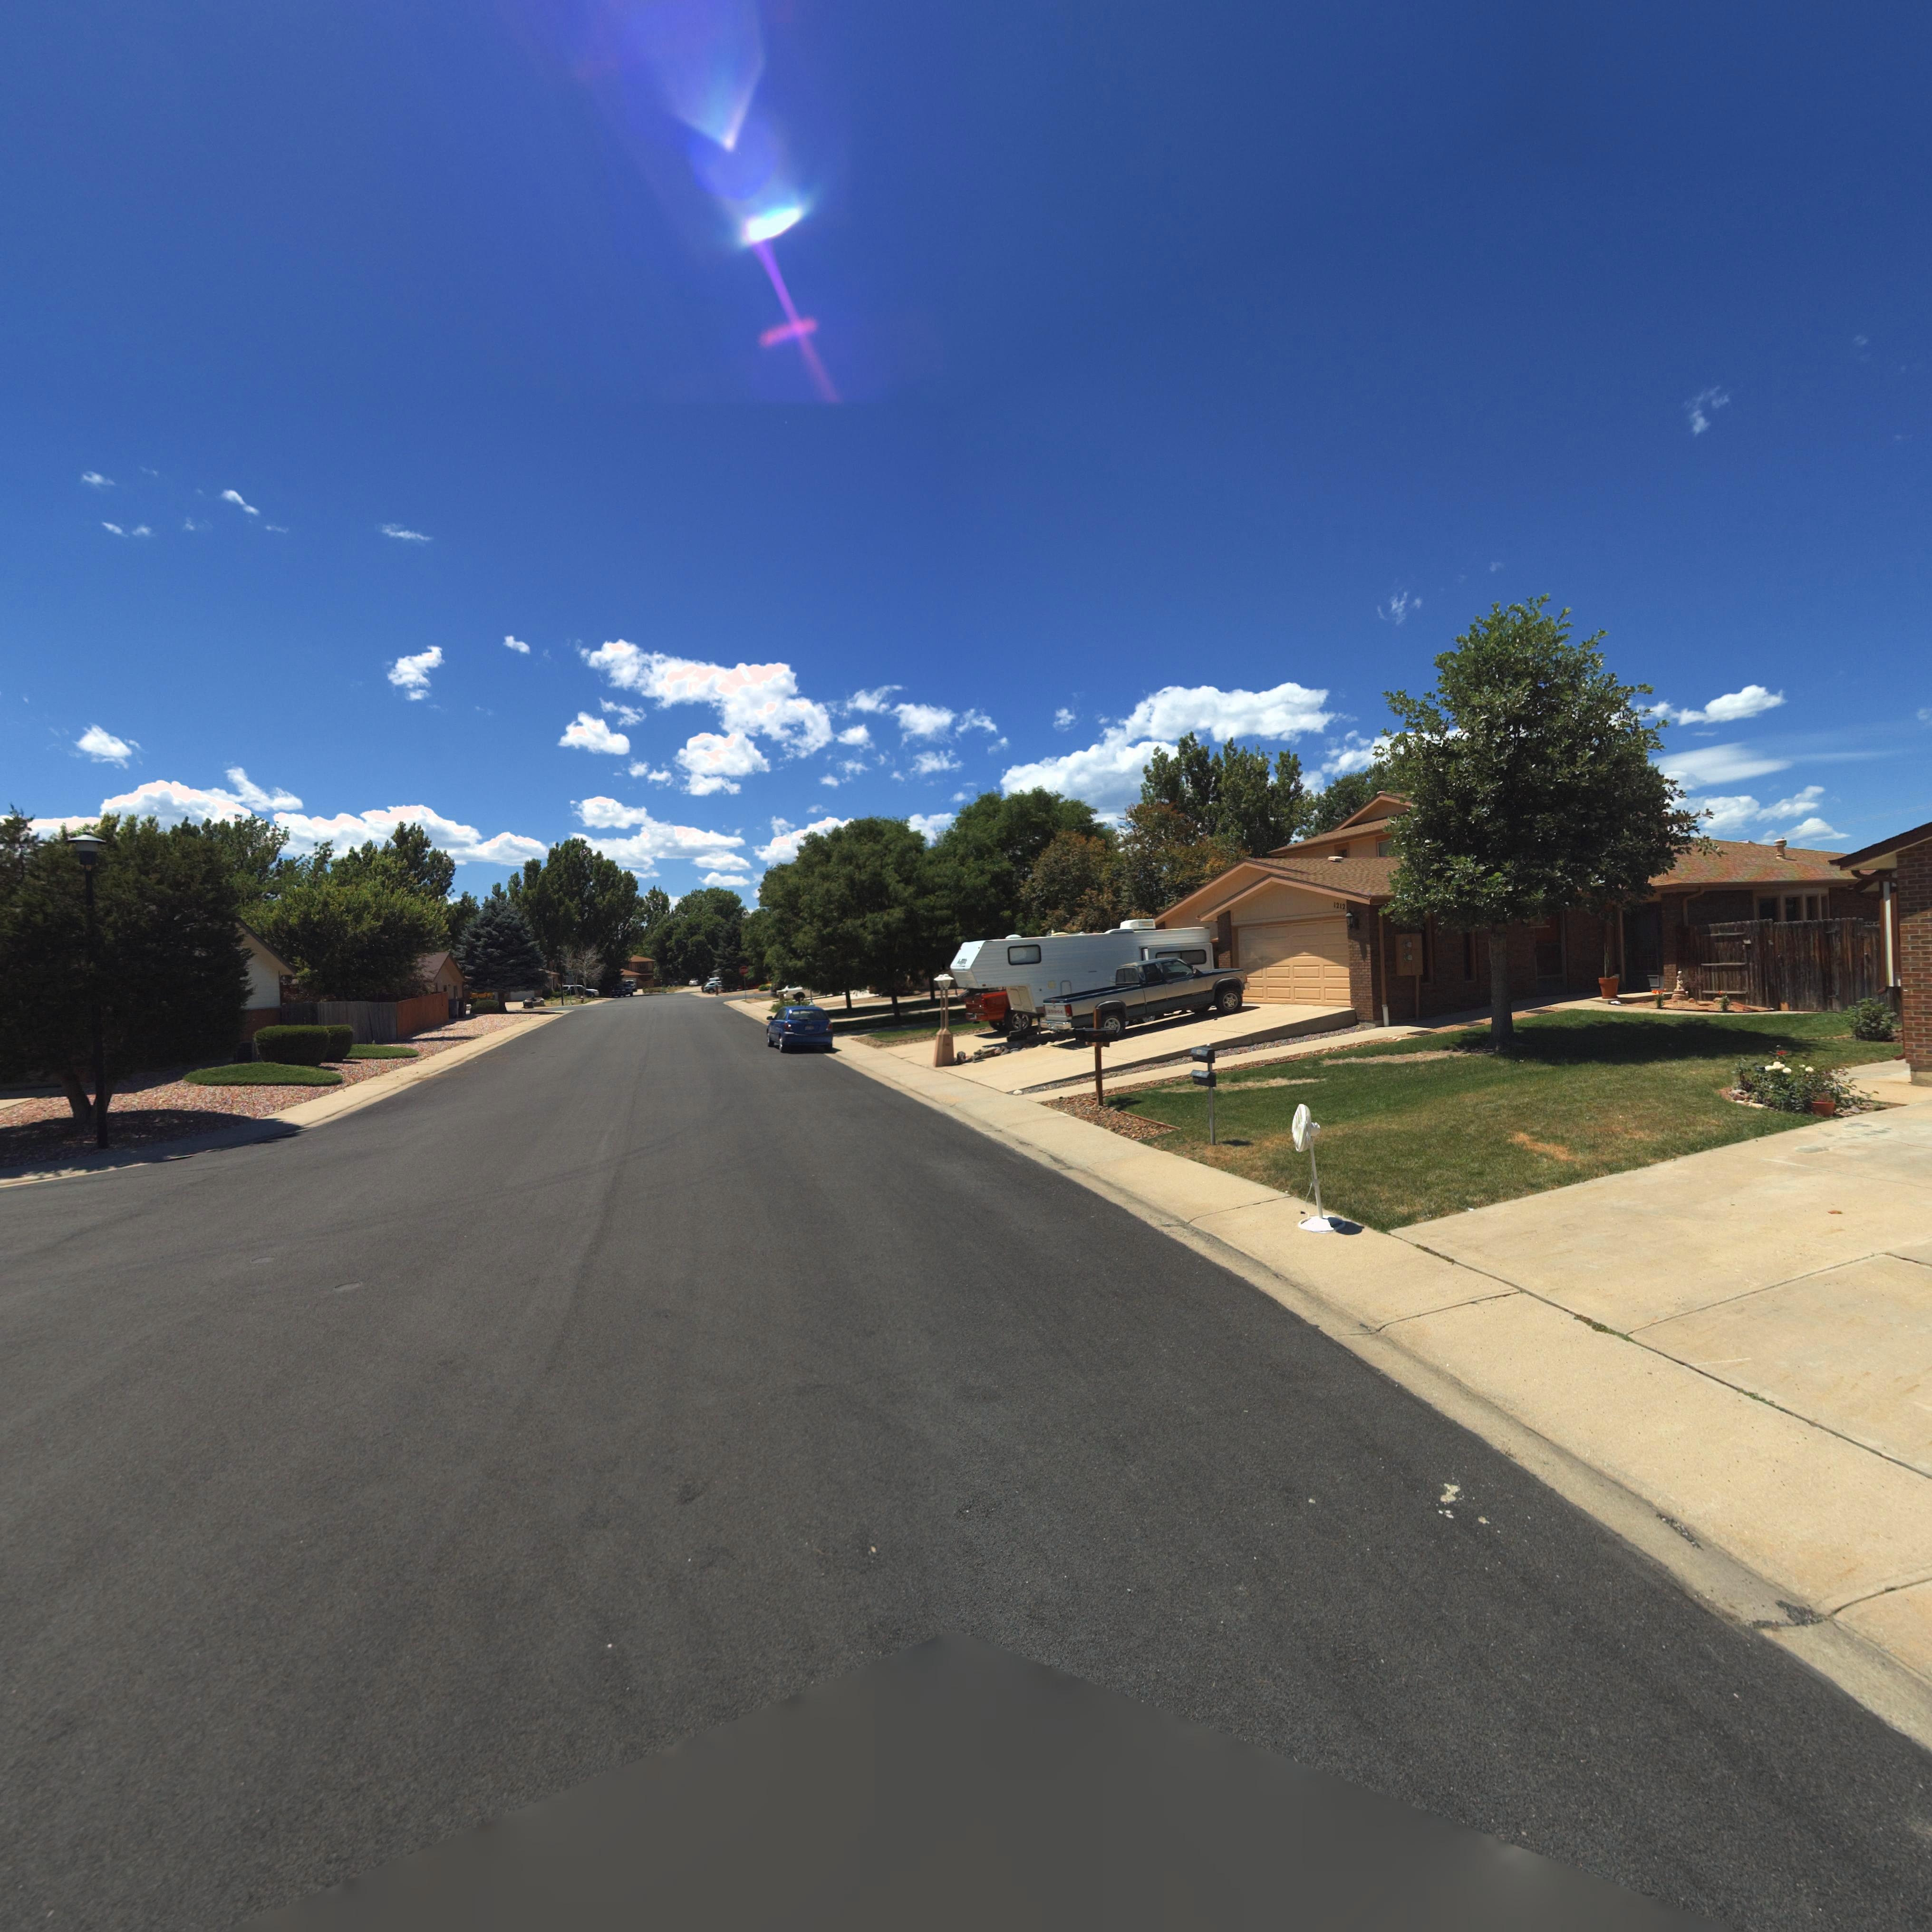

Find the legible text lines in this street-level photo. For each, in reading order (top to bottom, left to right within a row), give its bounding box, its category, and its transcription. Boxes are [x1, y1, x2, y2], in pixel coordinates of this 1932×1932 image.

[1333, 901, 1345, 909] StreetNumber: 1212